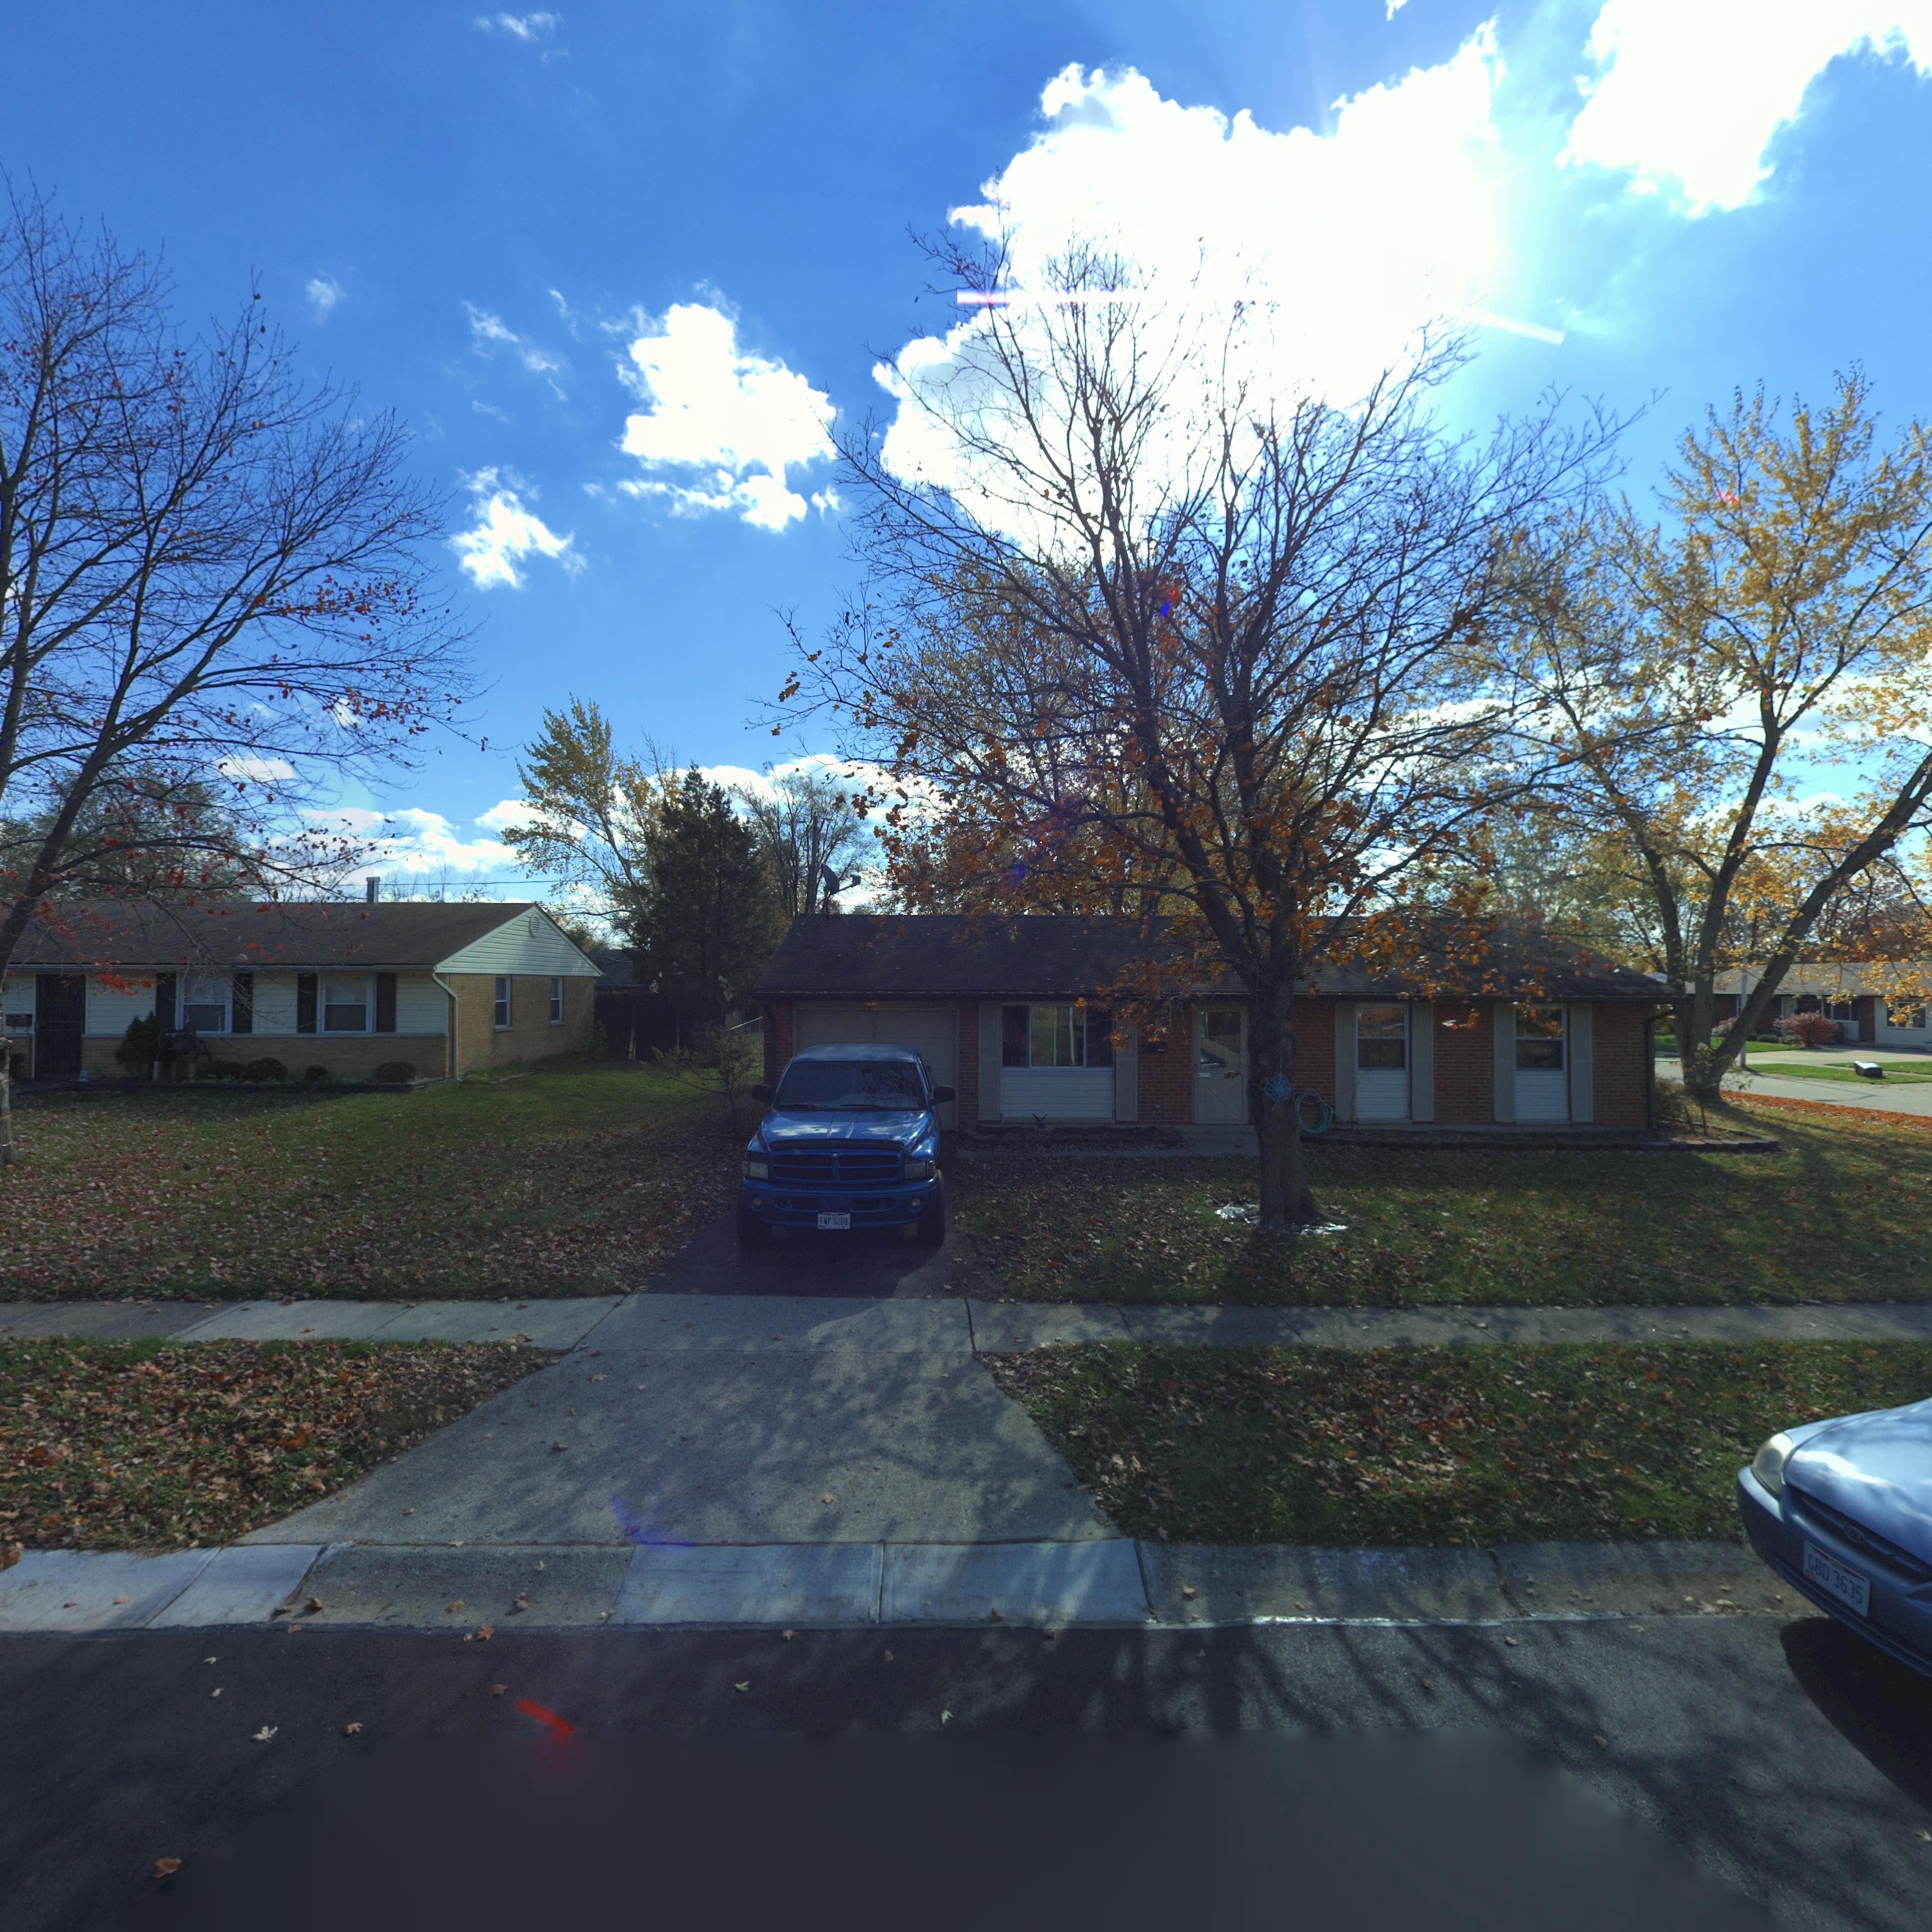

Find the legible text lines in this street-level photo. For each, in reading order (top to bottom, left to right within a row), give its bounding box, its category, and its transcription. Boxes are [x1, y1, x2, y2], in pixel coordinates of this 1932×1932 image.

[925, 999, 948, 1007] StreetNumber: 770*